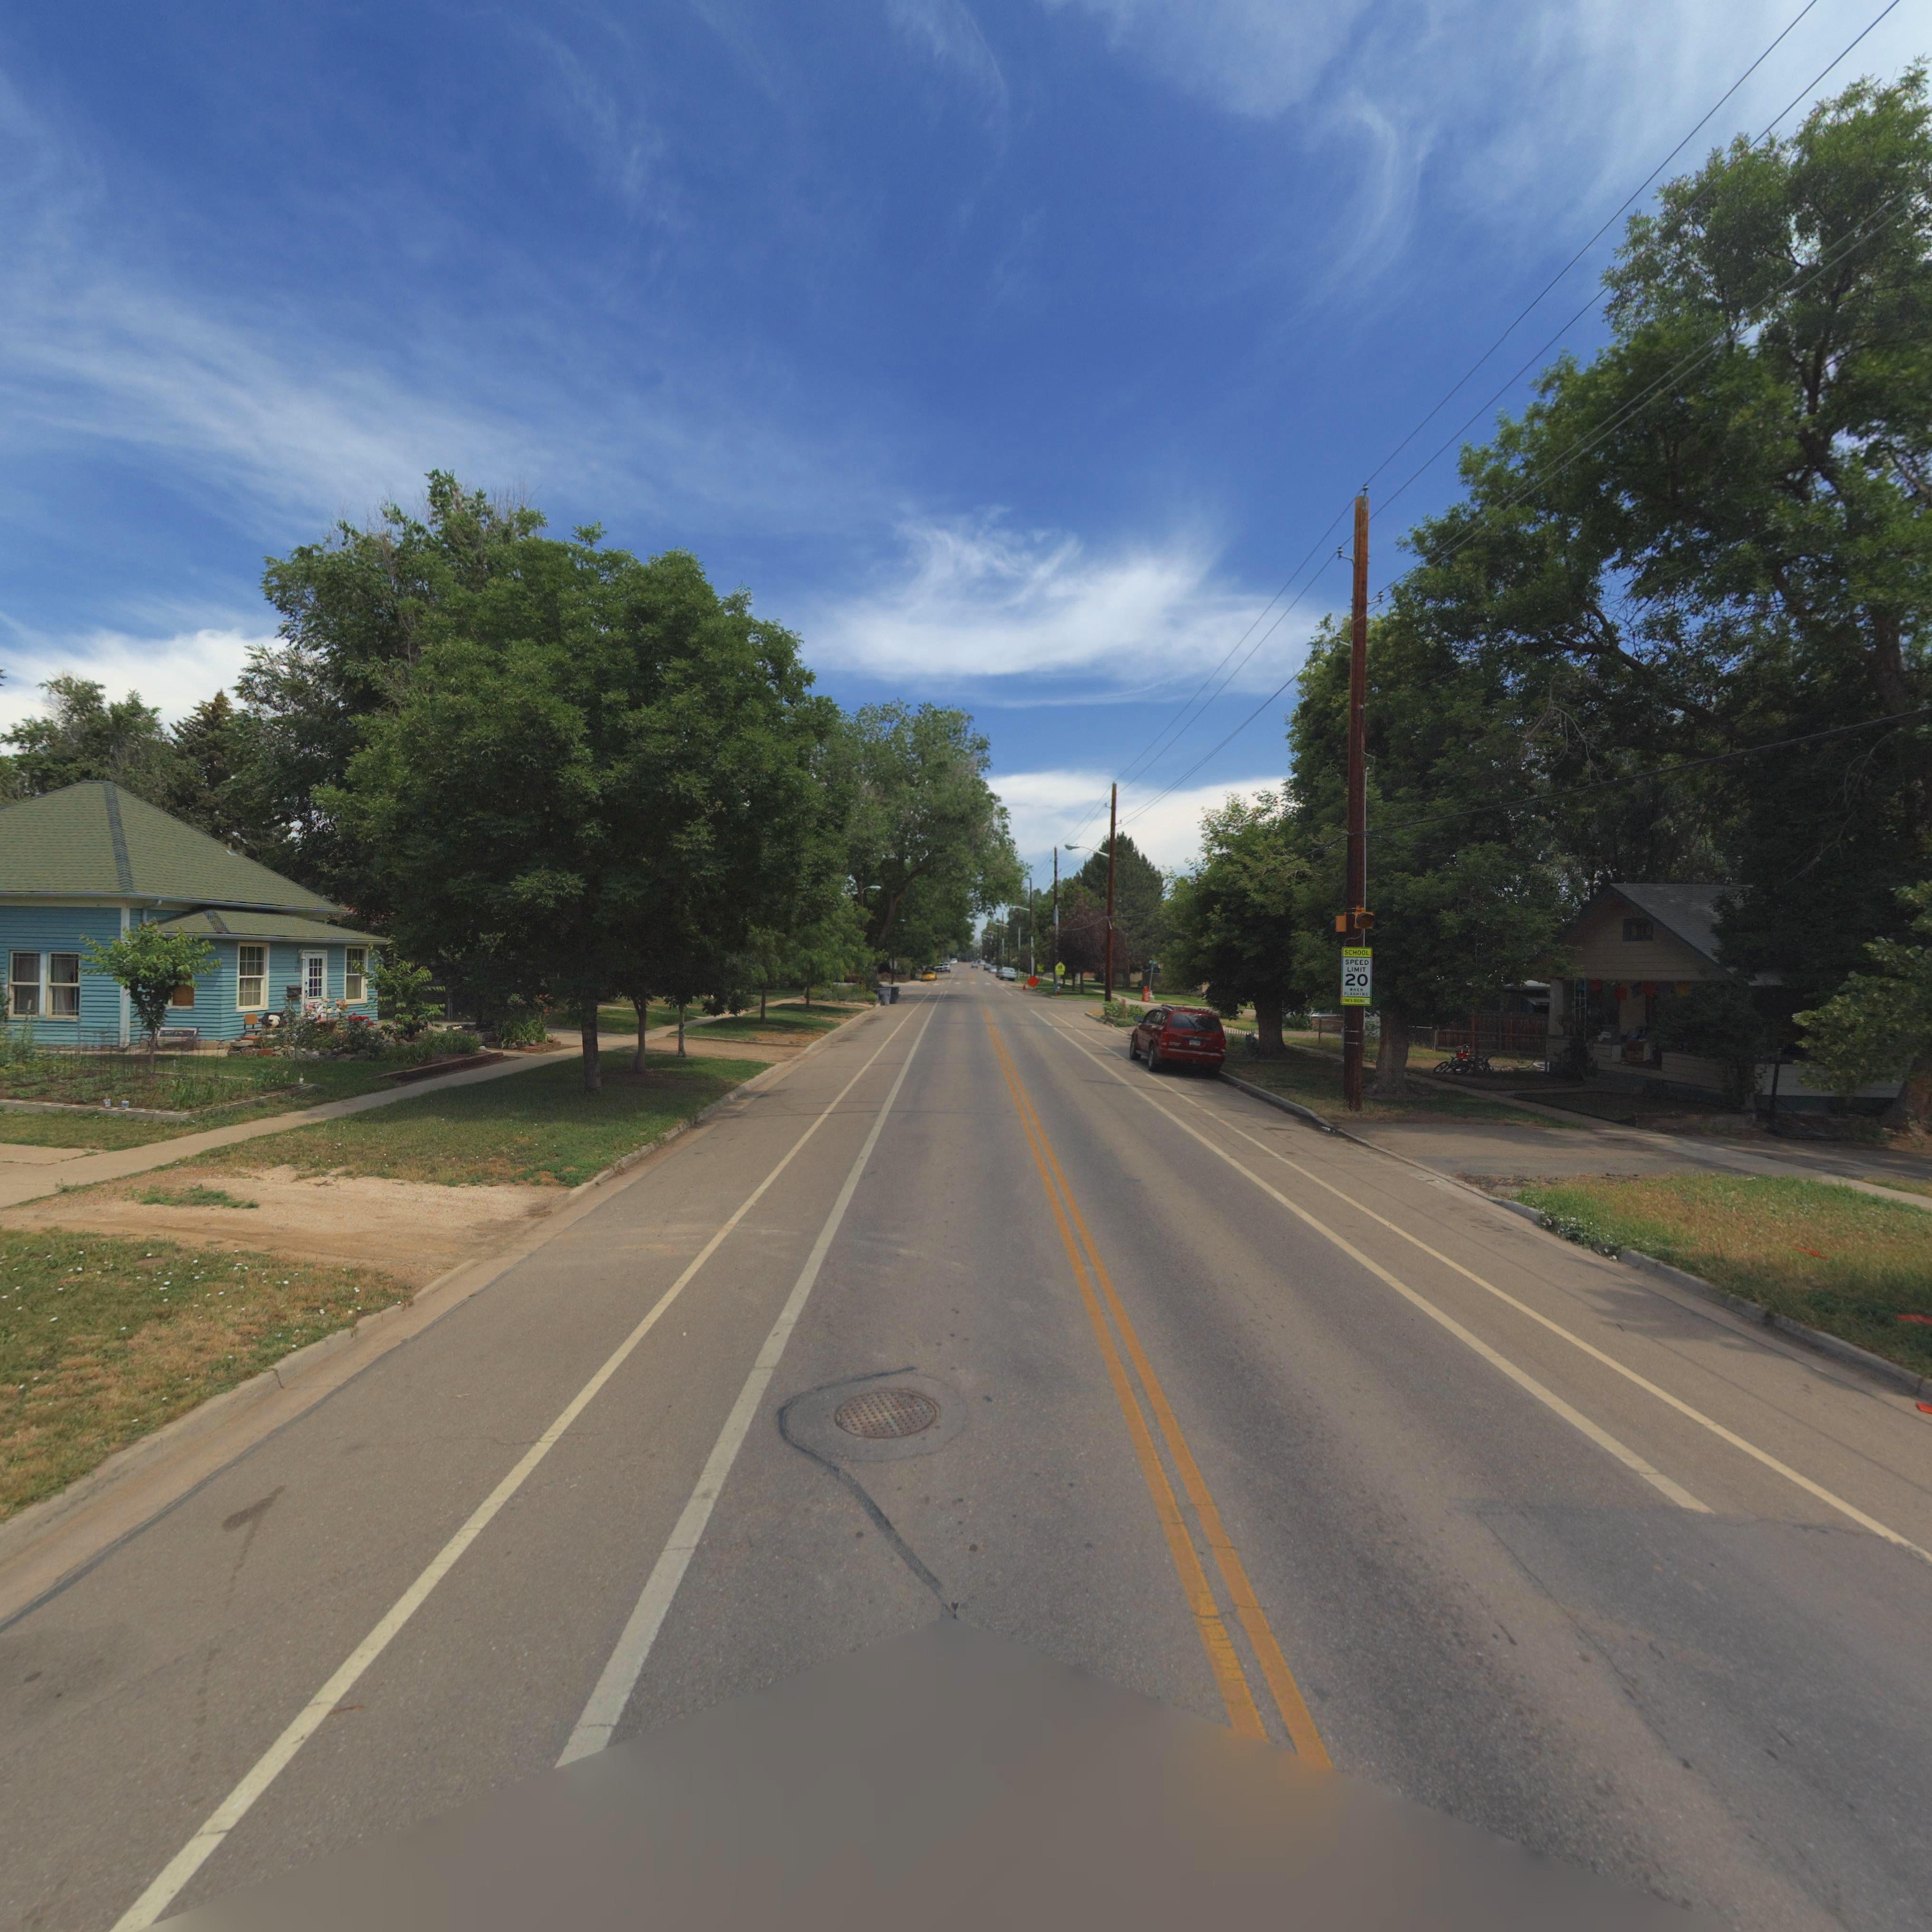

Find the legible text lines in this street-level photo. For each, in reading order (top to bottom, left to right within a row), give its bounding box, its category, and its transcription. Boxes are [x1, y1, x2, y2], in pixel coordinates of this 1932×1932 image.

[294, 966, 301, 972] StreetNumber: *31